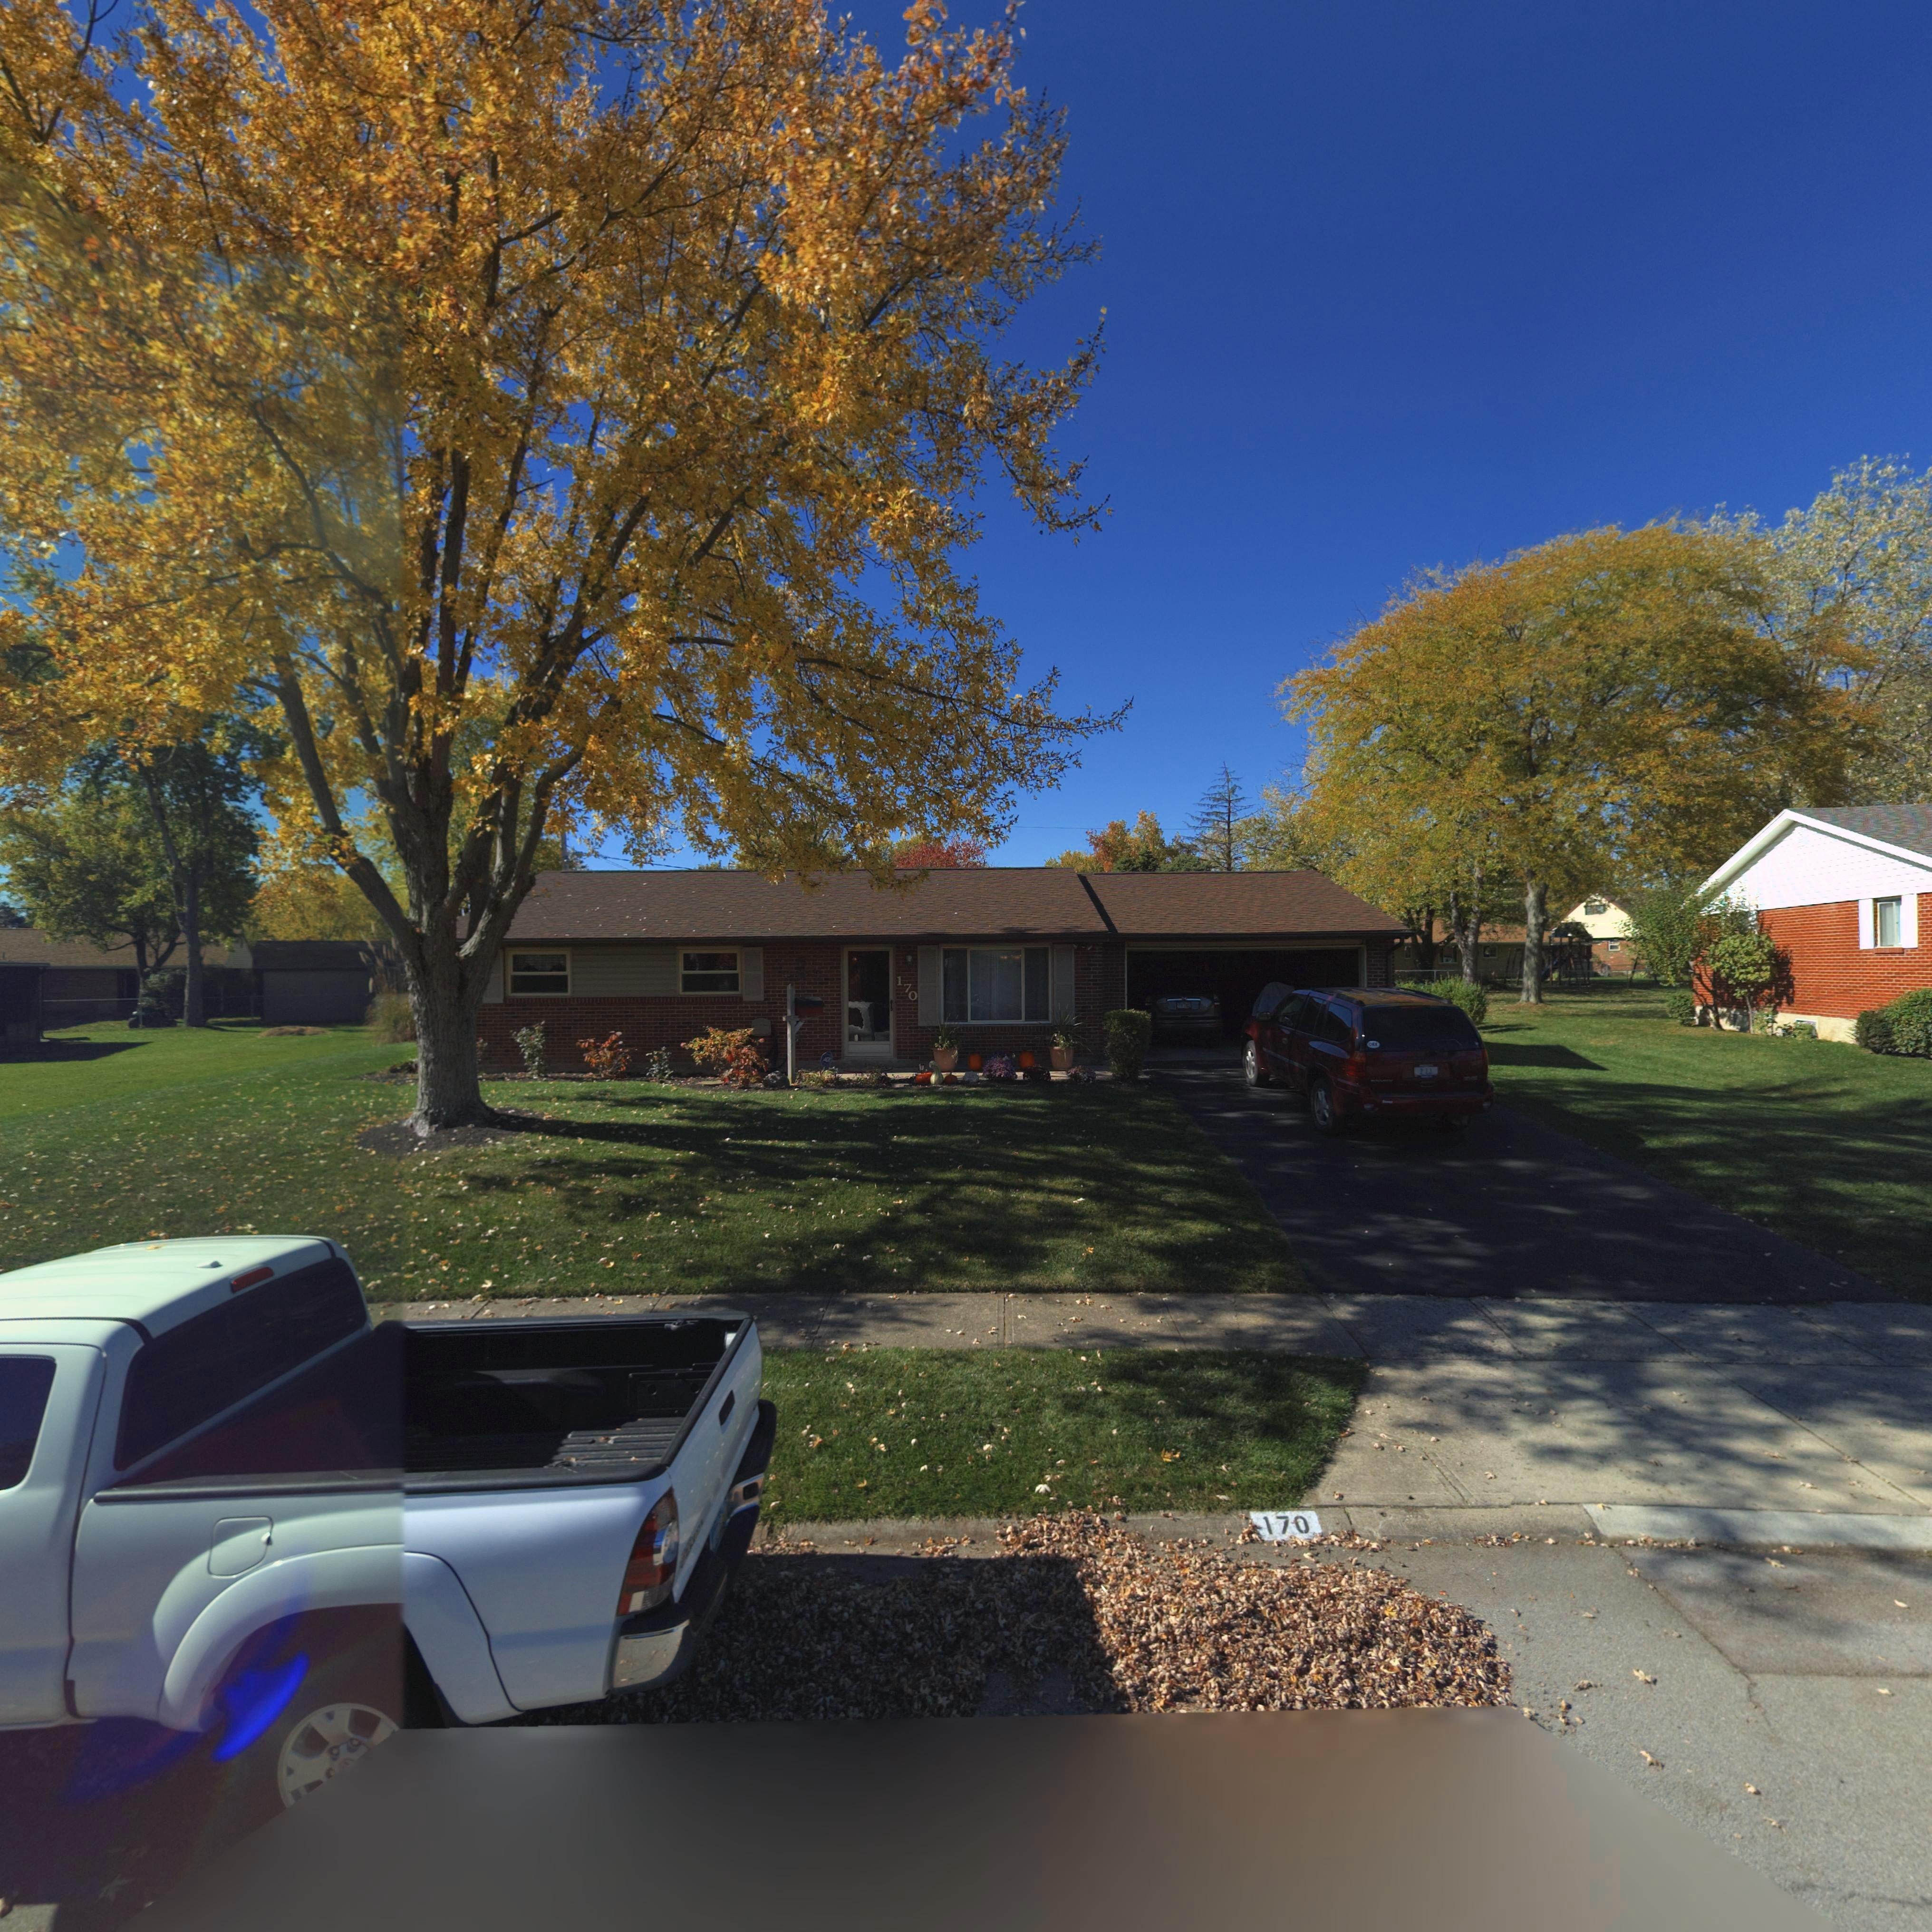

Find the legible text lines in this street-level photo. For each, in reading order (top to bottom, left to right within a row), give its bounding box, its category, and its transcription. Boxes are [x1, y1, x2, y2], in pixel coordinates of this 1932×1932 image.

[896, 975, 919, 1001] StreetNumber: 170
[1261, 1514, 1311, 1537] StreetNumber: 170